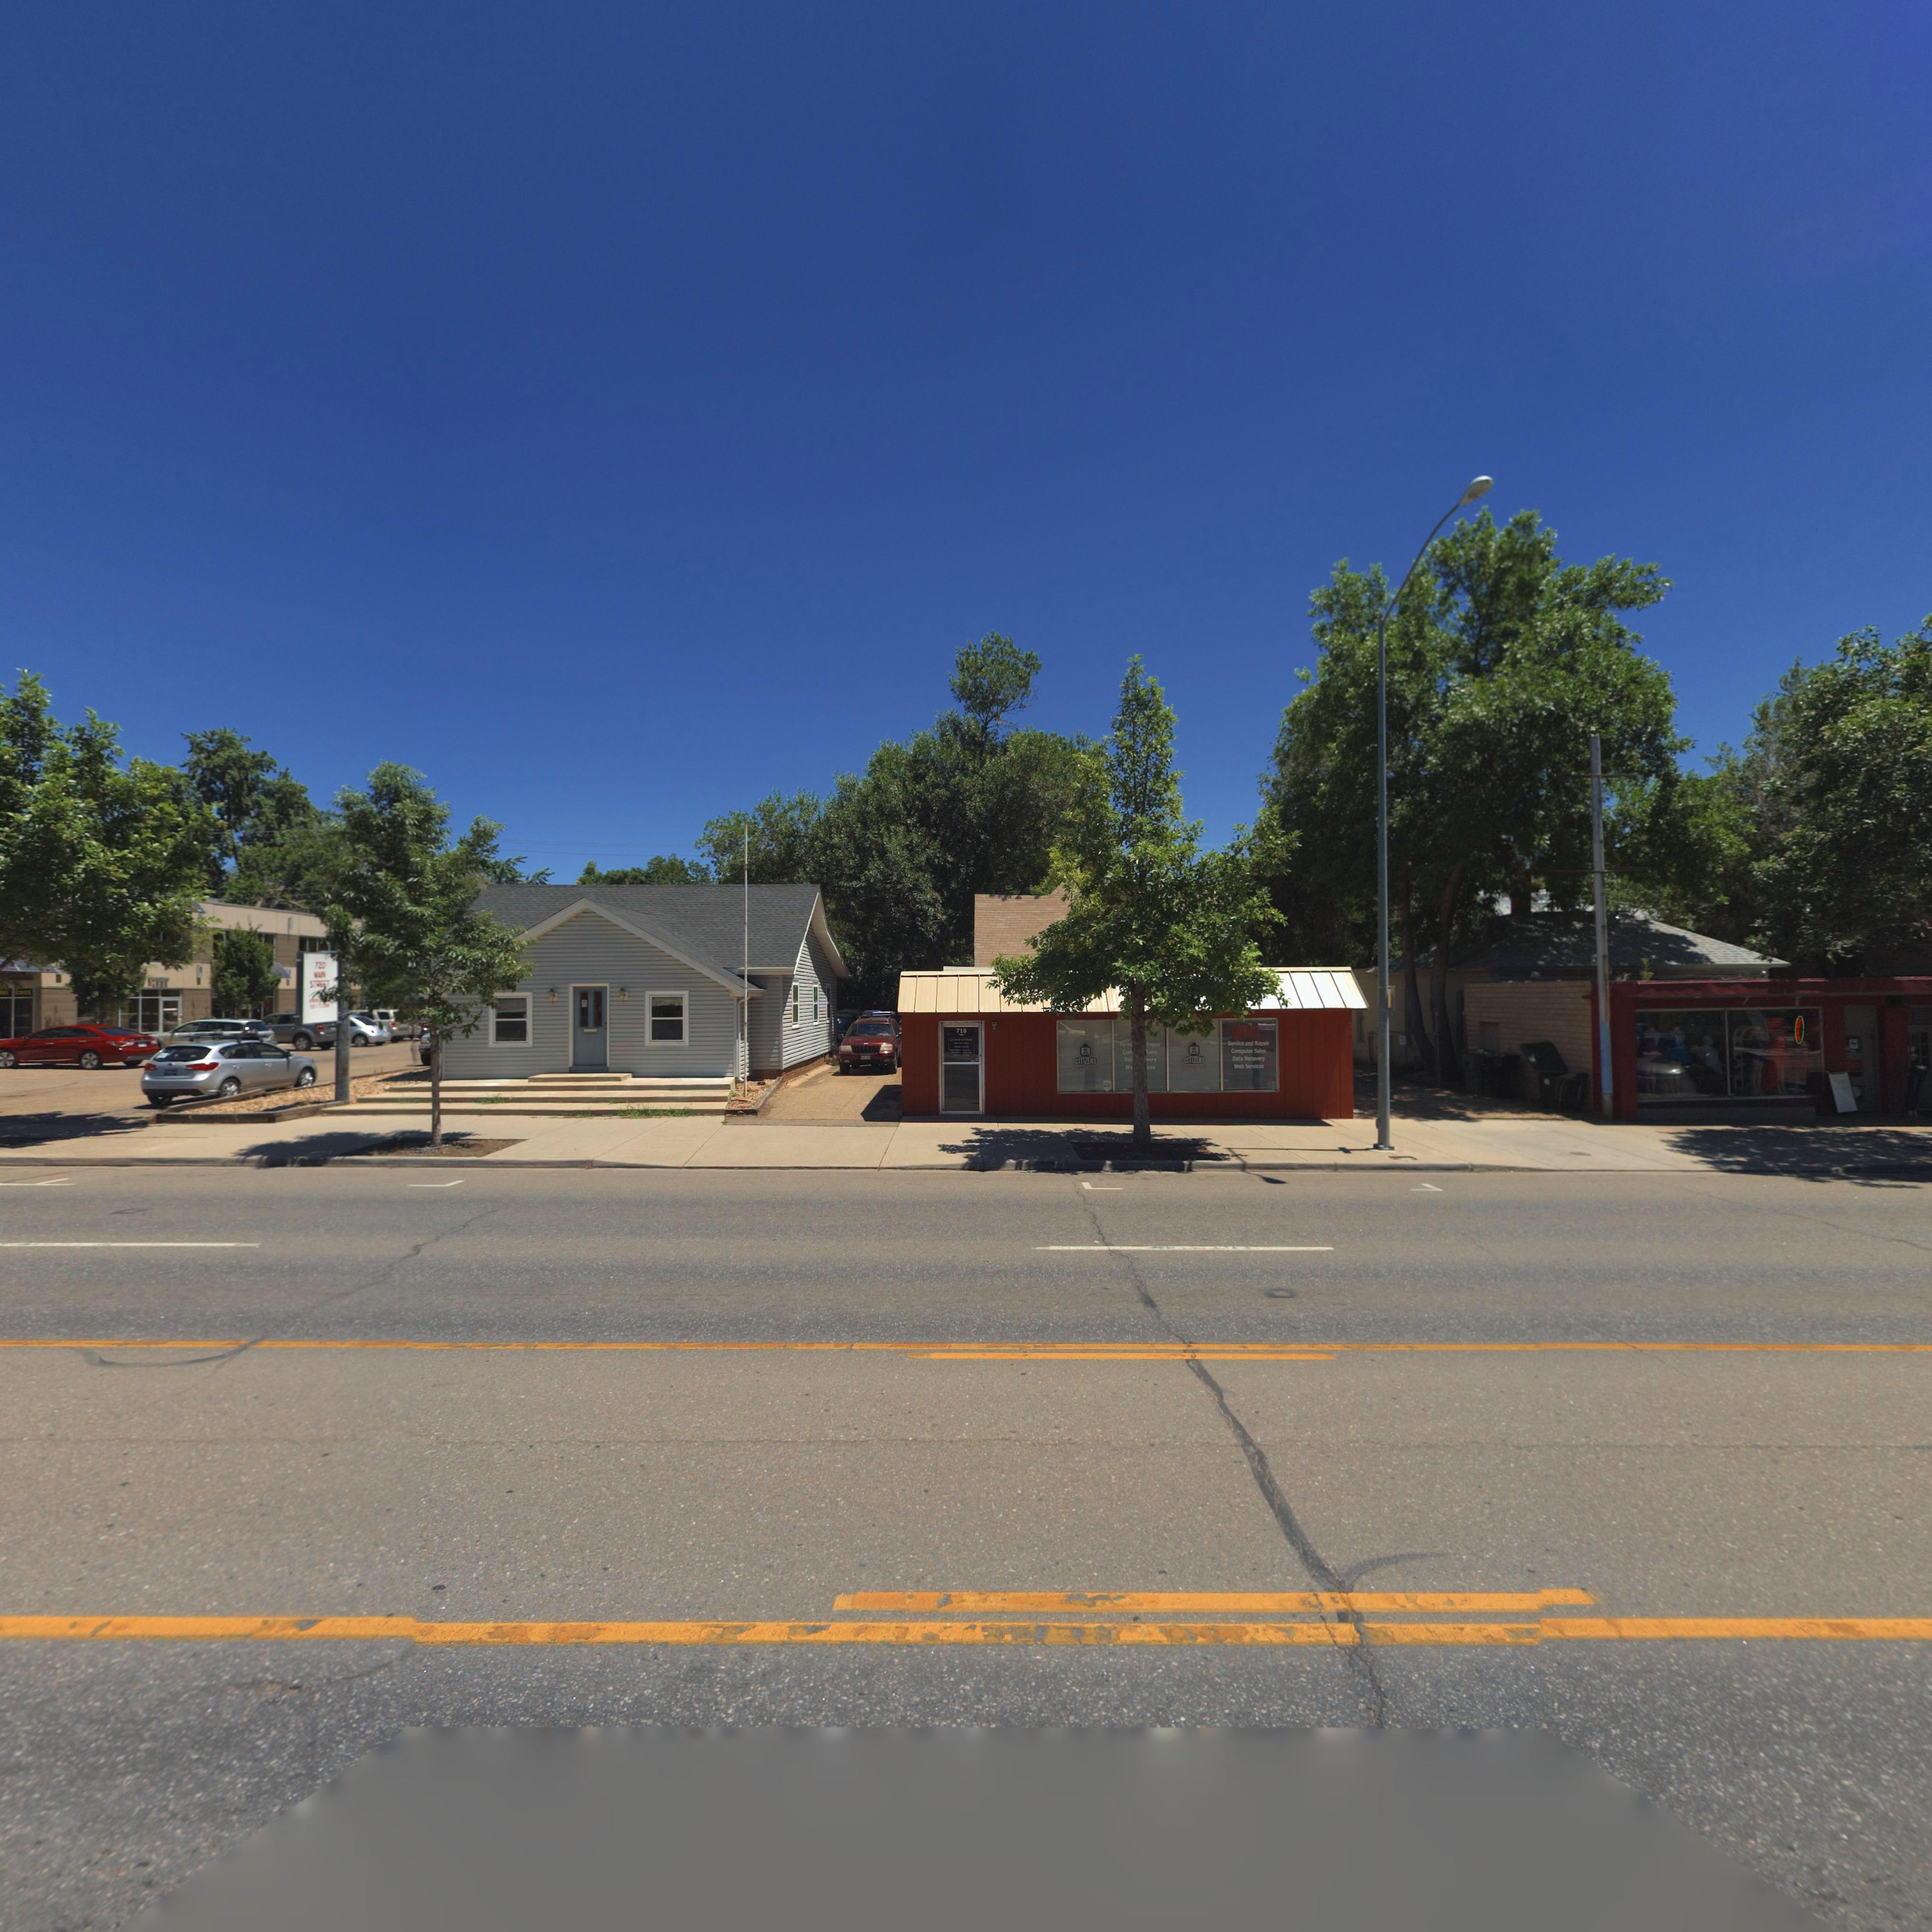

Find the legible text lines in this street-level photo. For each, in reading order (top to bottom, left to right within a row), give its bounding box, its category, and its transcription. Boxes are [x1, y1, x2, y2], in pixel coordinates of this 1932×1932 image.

[315, 961, 326, 968] StreetNumber: 720
[313, 971, 326, 978] StreetName: MA*N
[309, 979, 329, 988] StreetName: STREET
[956, 1028, 967, 1033] StreetNumber: 716